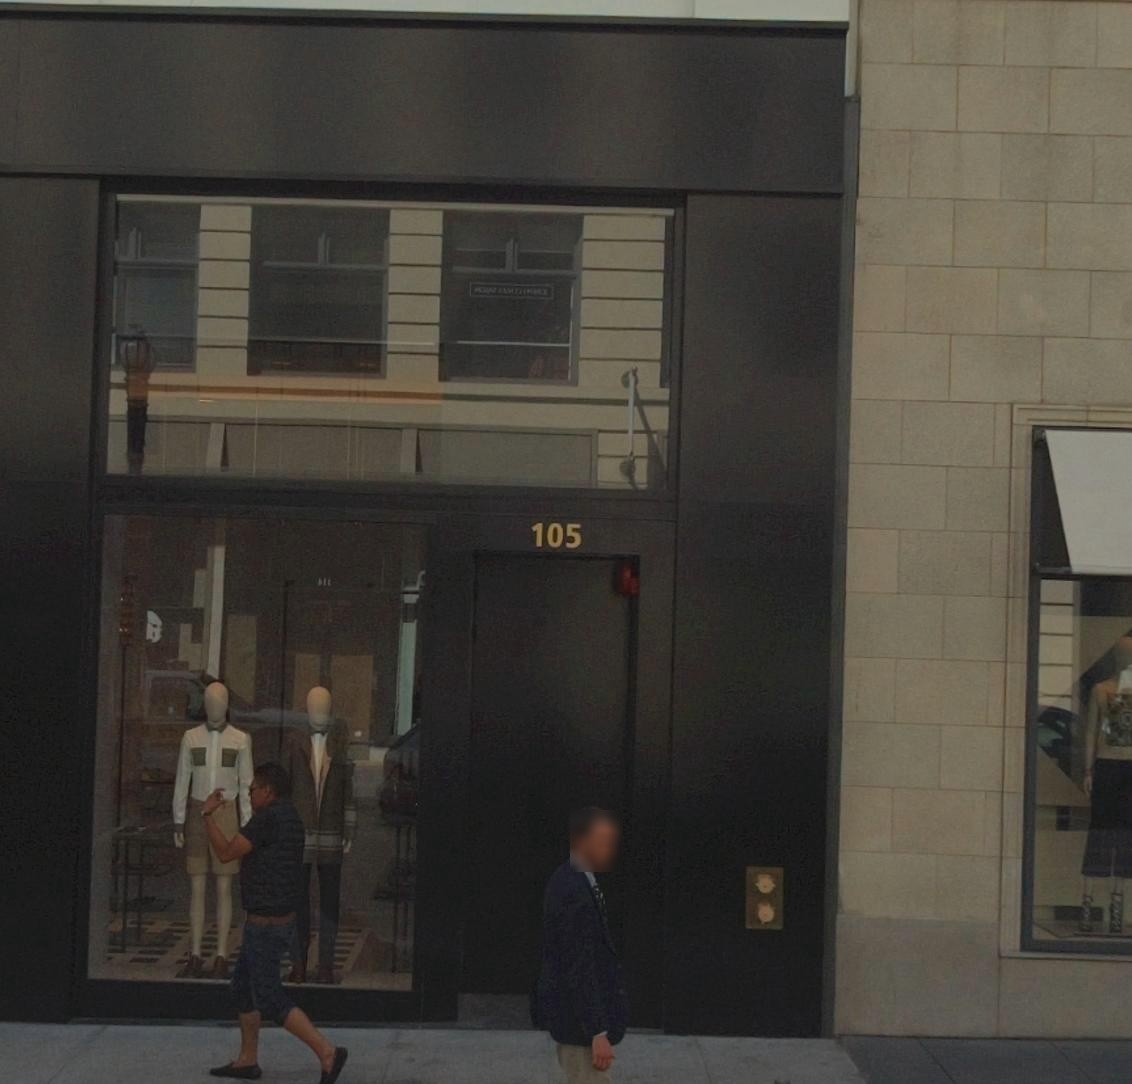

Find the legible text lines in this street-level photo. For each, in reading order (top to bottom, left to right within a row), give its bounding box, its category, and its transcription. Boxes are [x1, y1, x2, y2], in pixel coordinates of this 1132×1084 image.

[529, 521, 583, 549] StreetNumber: 105